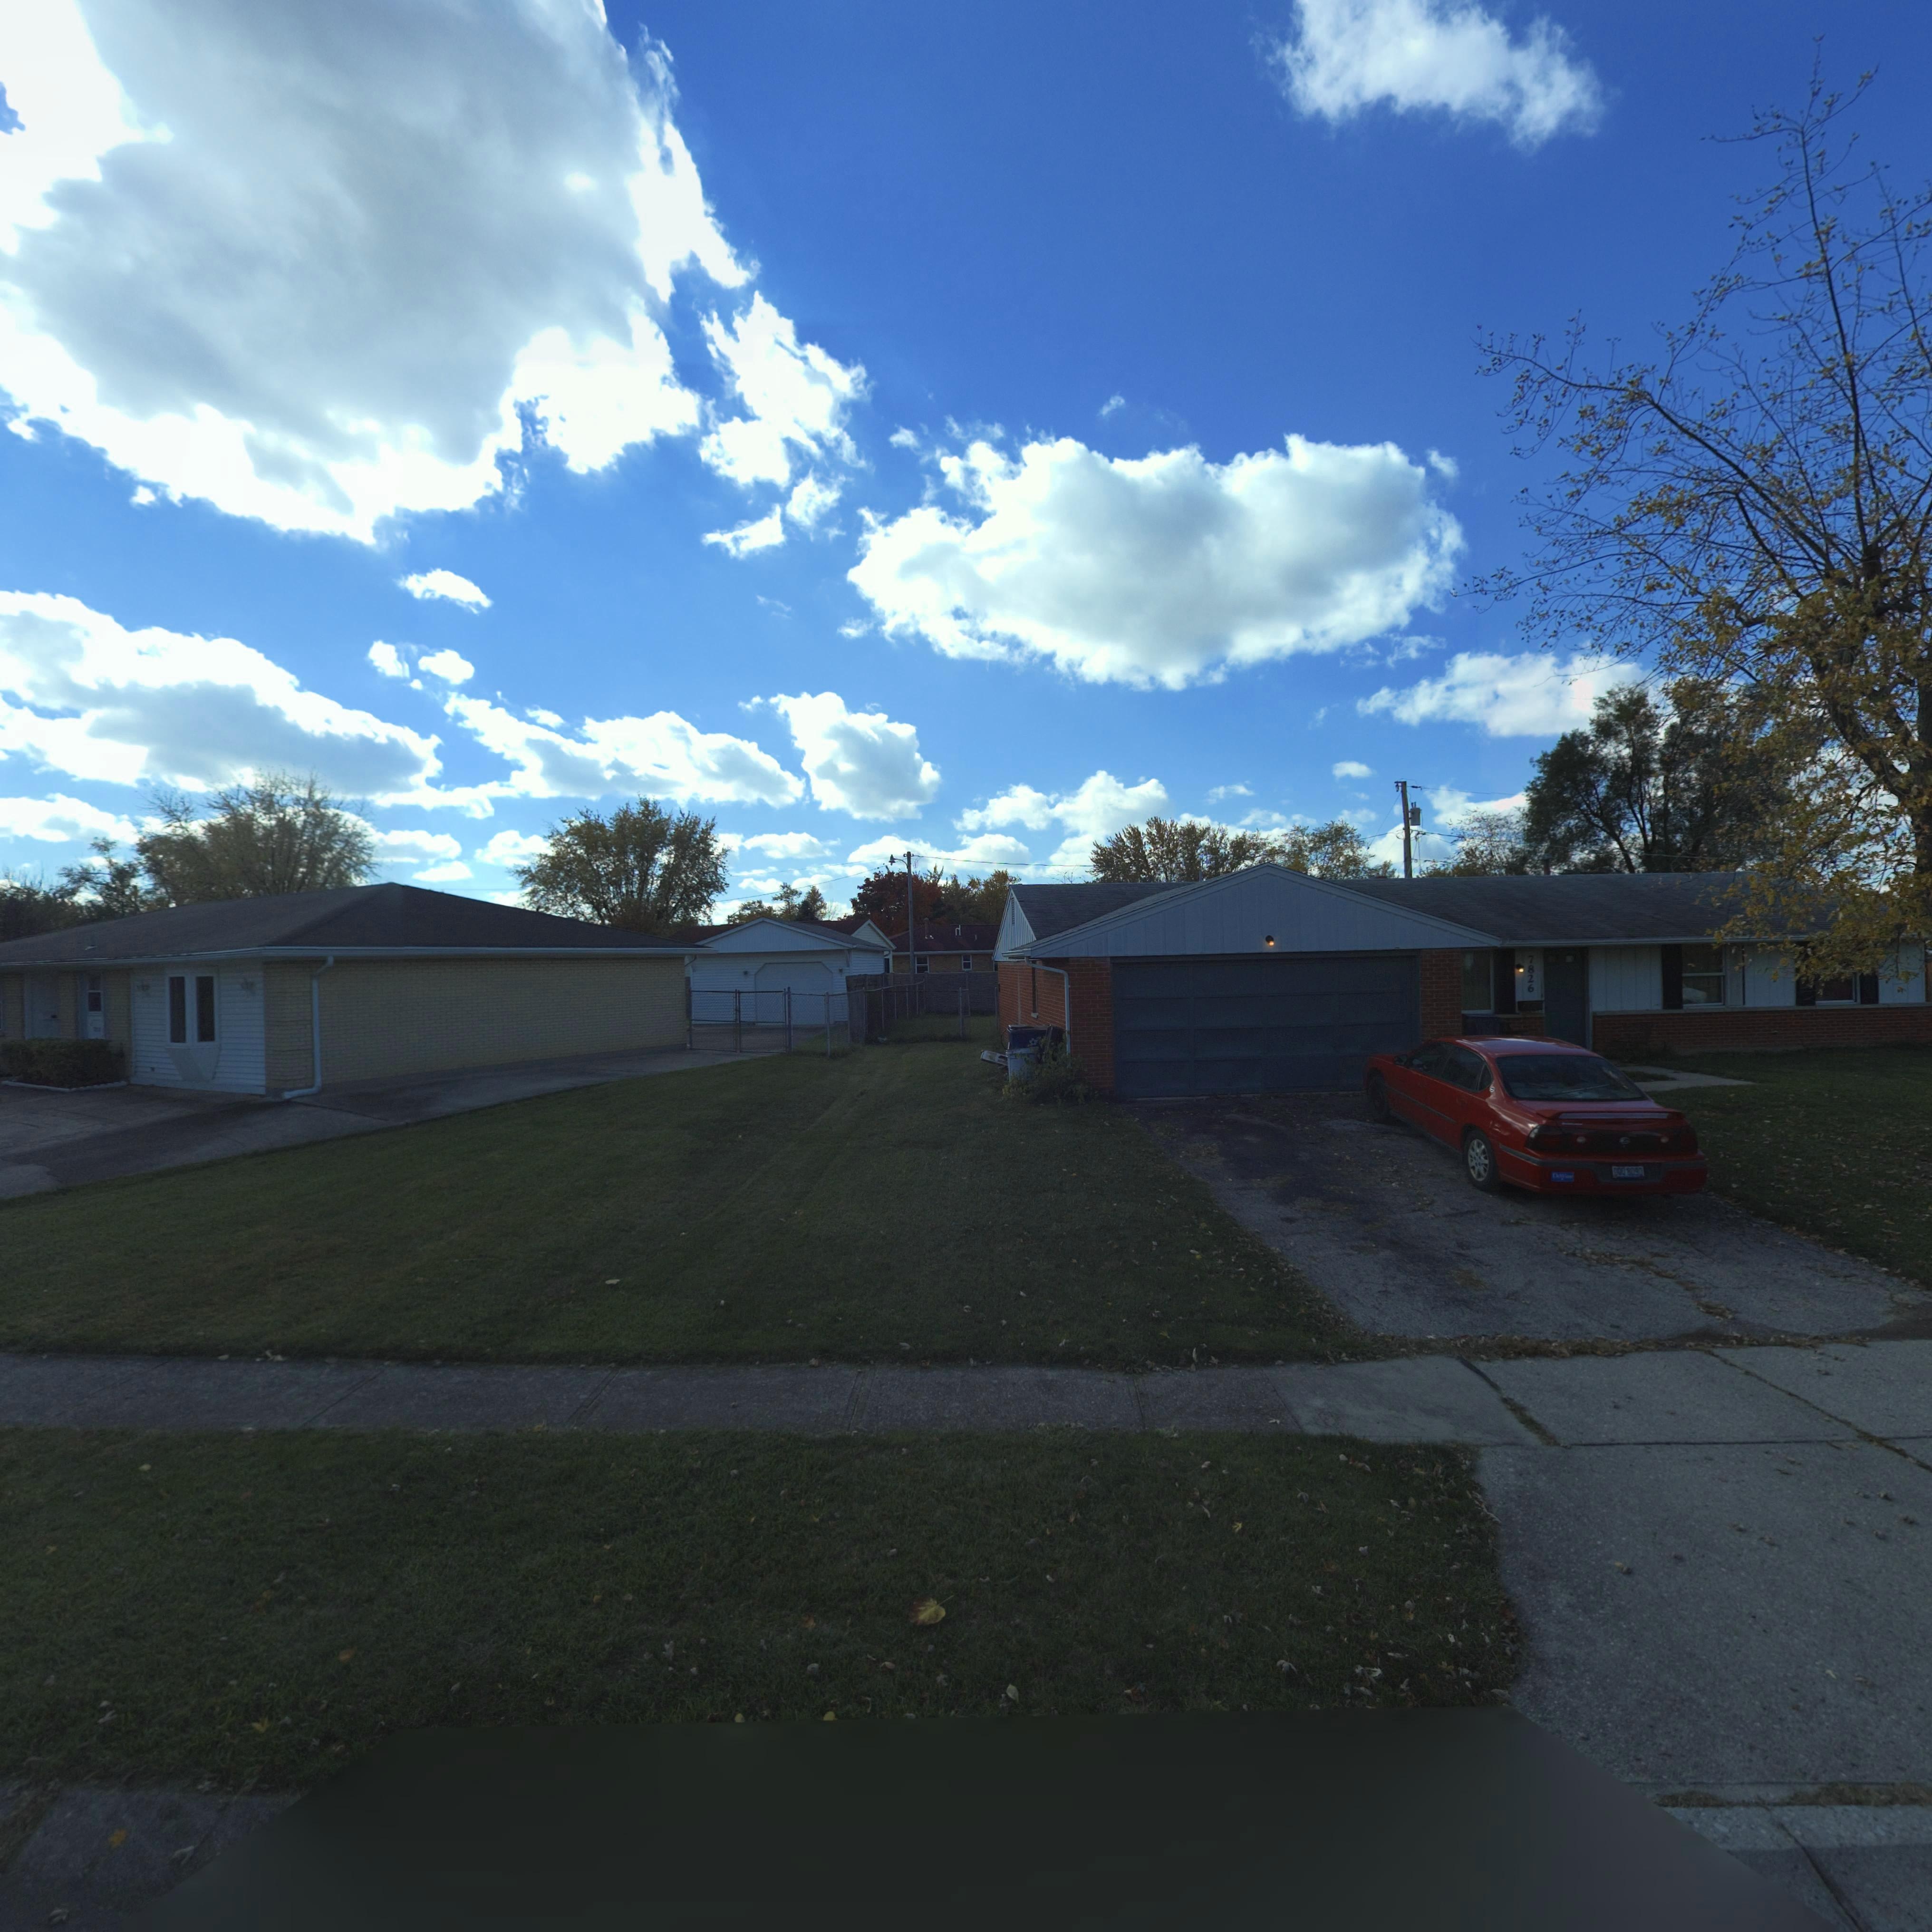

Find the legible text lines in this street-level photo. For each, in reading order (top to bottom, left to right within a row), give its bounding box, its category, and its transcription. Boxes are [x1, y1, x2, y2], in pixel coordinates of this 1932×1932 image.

[1527, 954, 1535, 994] StreetNumber: 7826